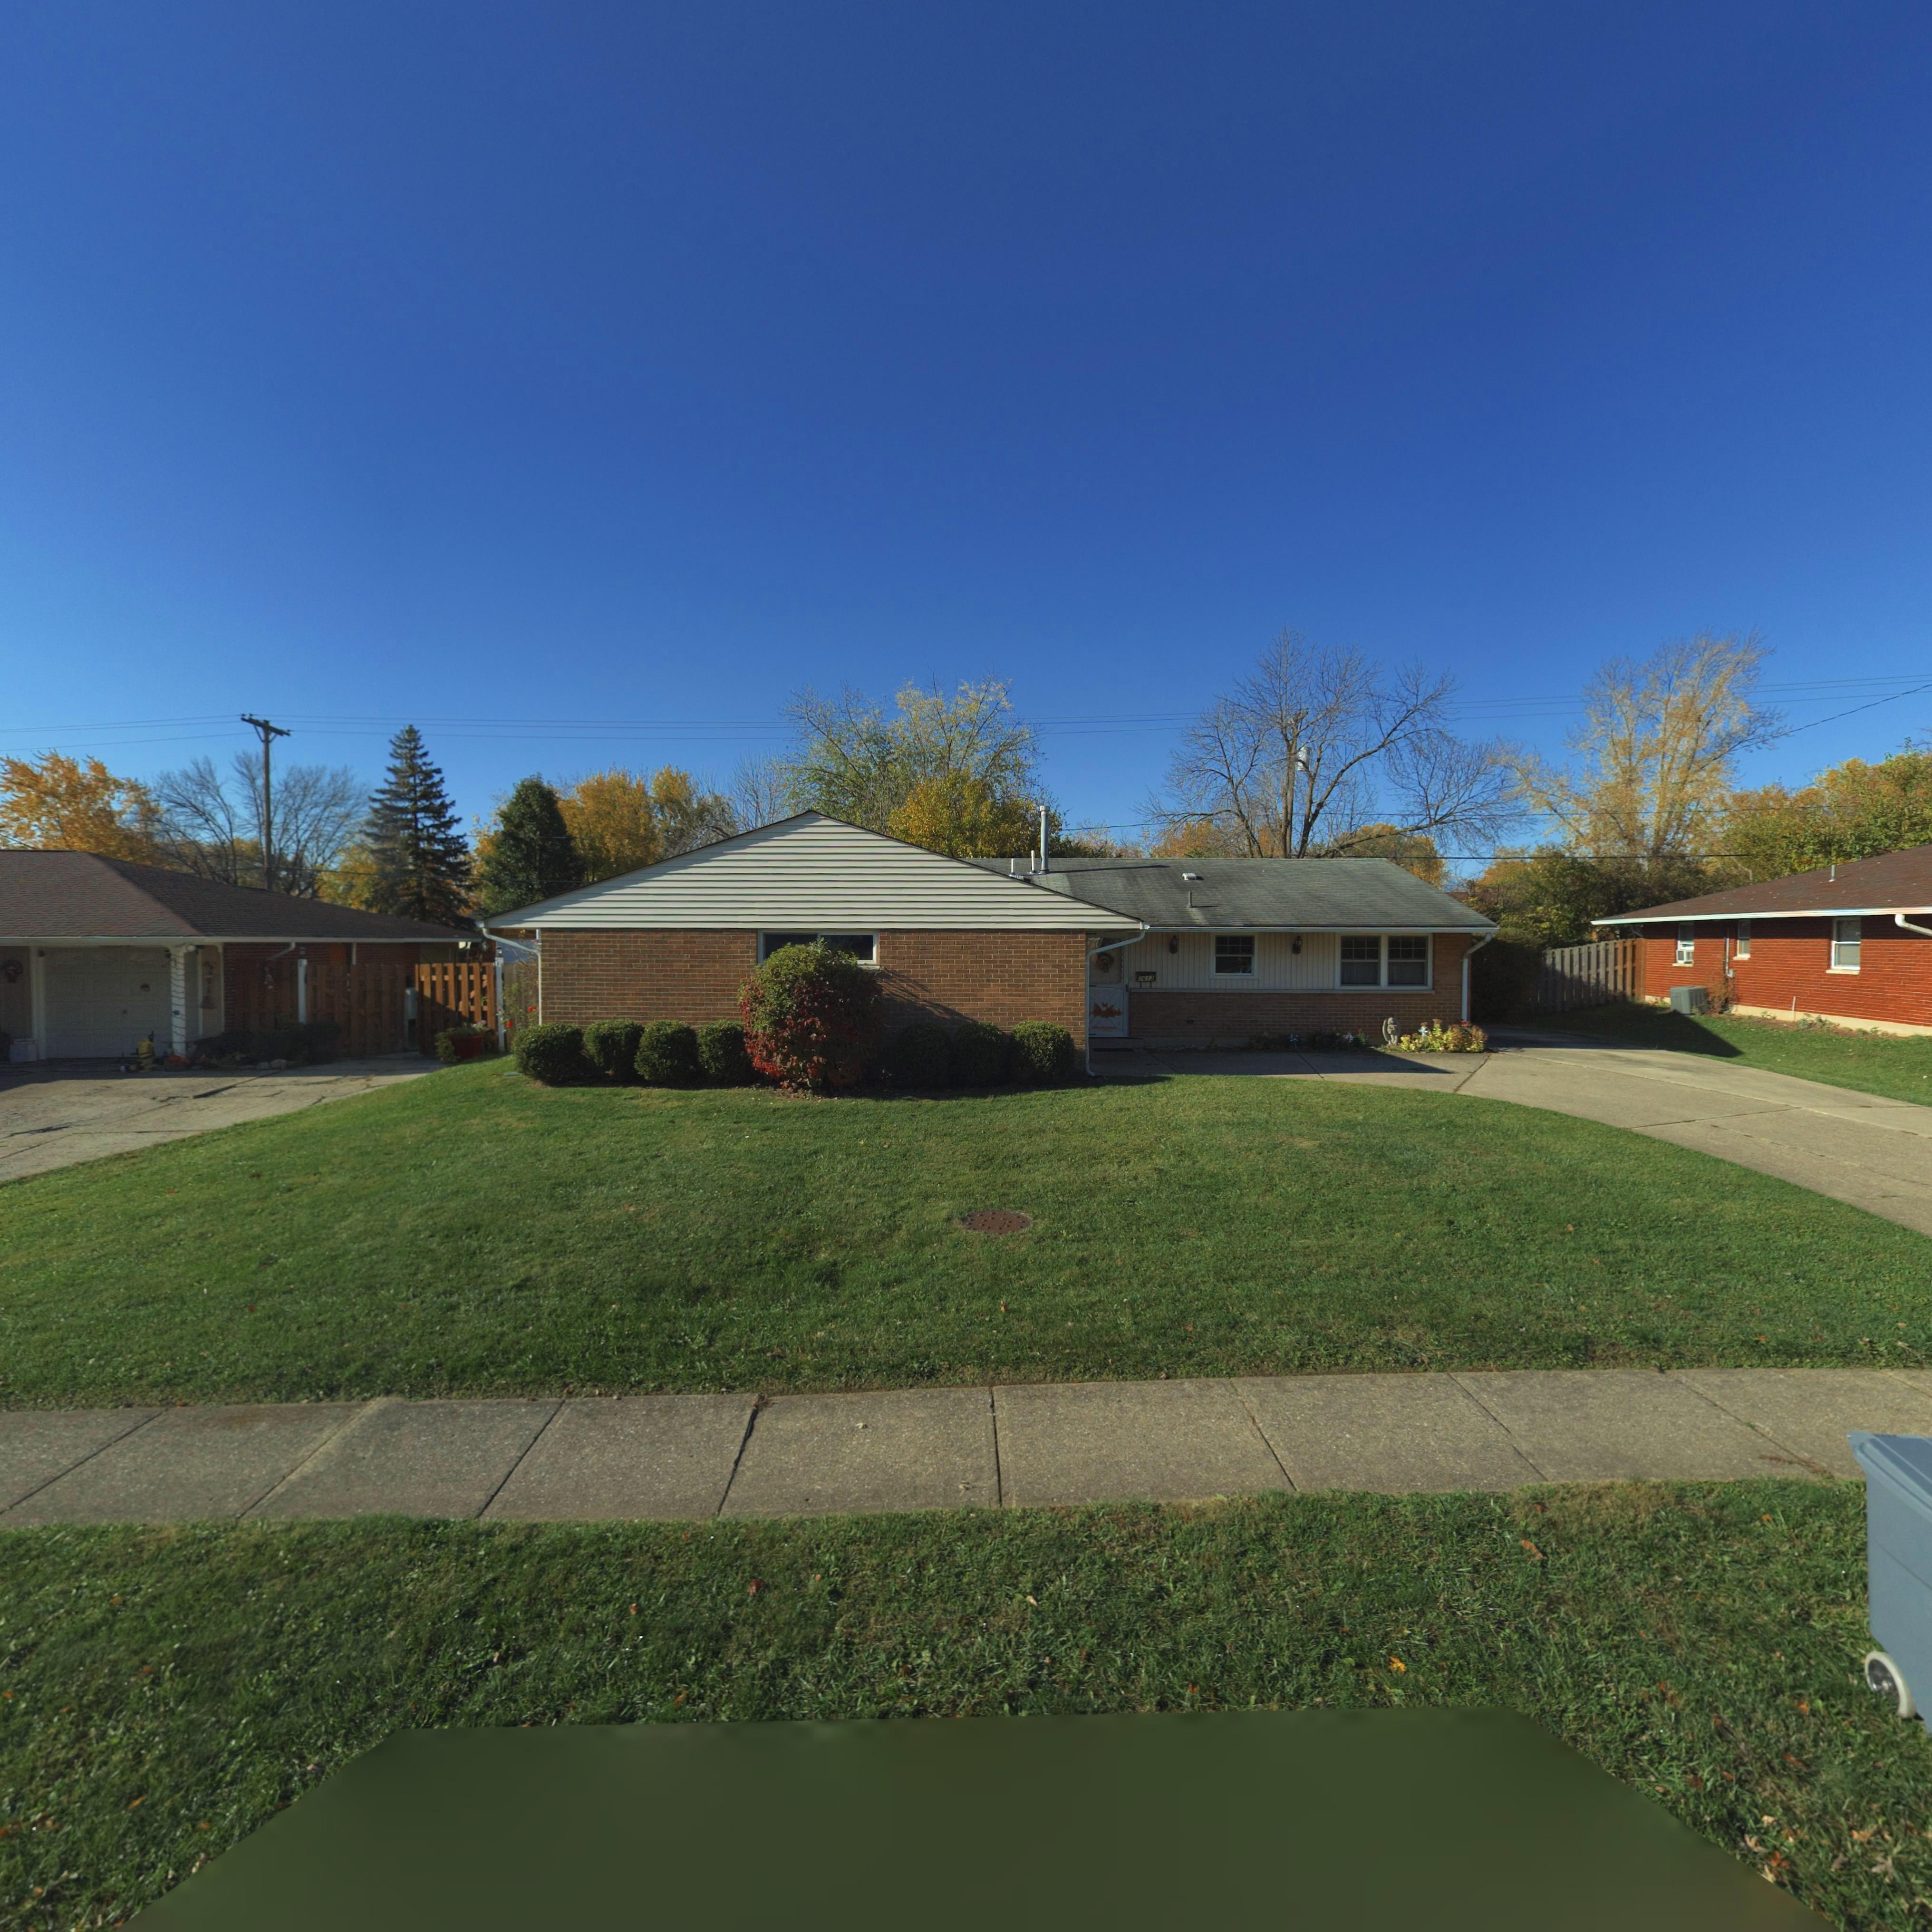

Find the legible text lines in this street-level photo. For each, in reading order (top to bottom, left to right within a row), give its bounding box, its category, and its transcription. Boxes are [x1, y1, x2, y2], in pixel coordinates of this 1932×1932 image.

[1138, 975, 1155, 981] StreetNumber: 7613